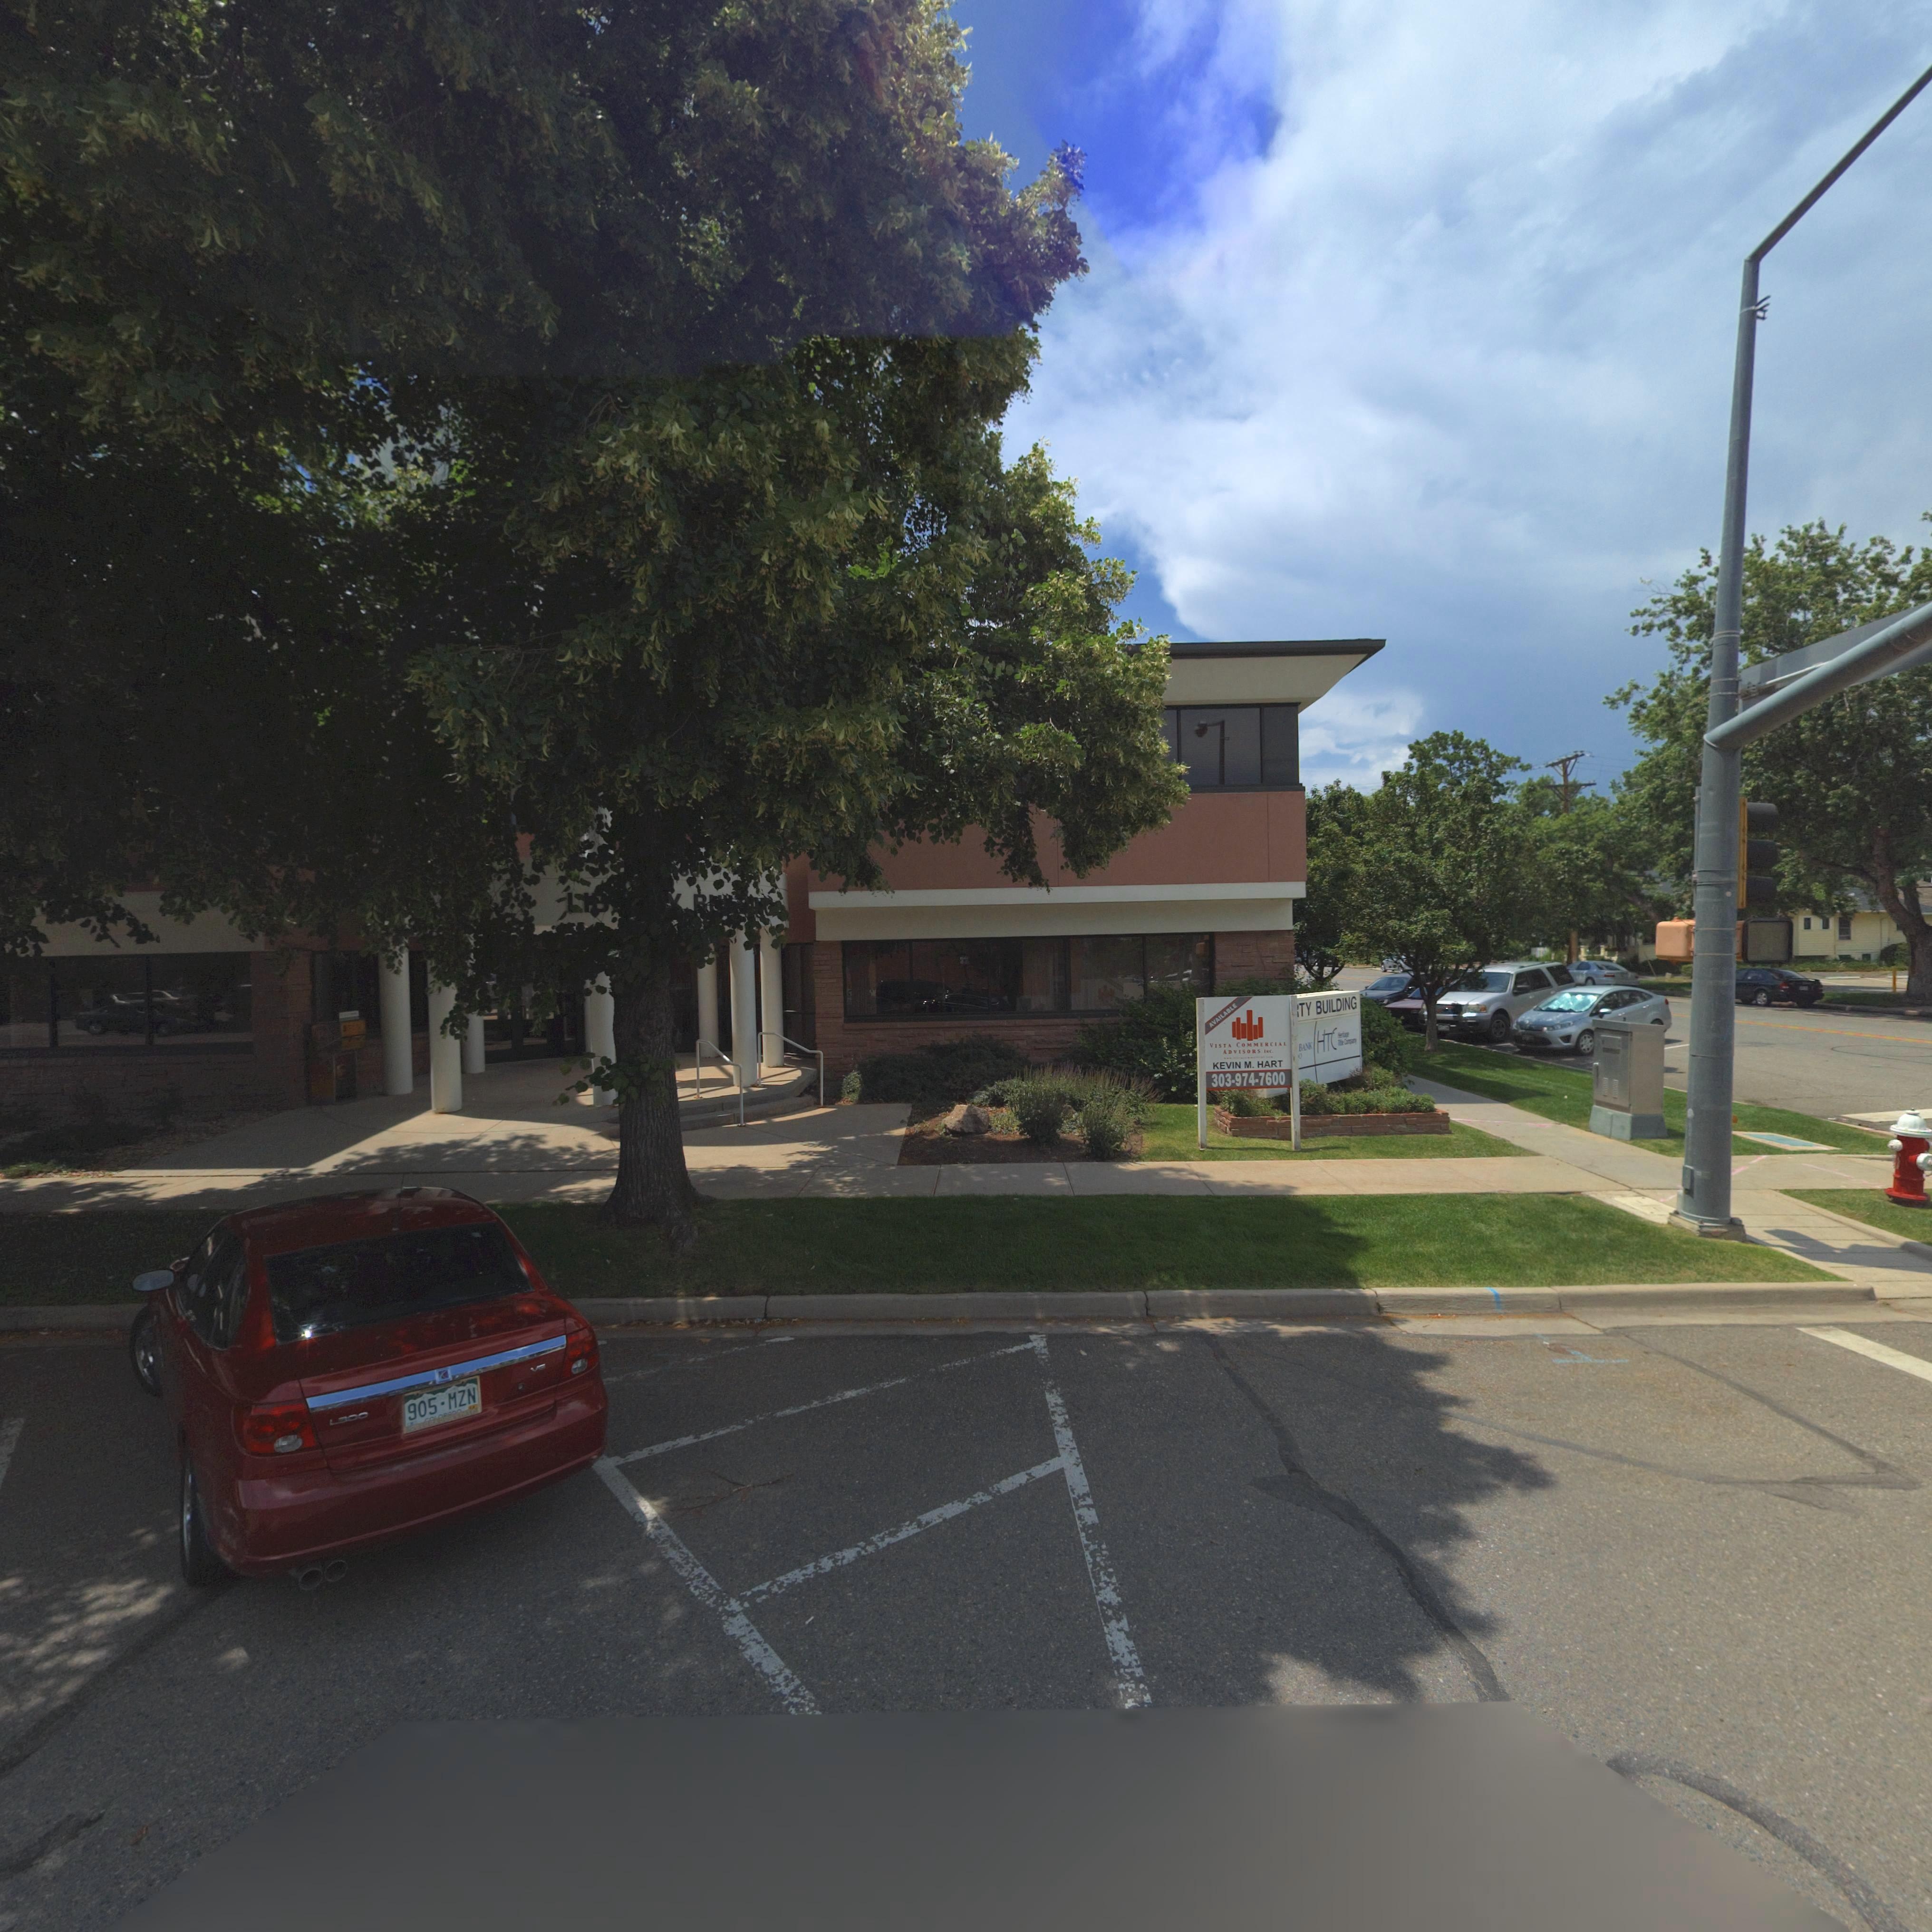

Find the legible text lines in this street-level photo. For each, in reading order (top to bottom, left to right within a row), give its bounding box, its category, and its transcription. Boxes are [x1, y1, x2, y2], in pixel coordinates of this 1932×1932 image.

[1337, 1031, 1350, 1039] BusinessName: Heritage
[1298, 1042, 1313, 1052] StreetNumber: BANK
[1316, 1027, 1338, 1054] BusinessName: HTC
[1336, 1037, 1357, 1047] BusinessName: T***e C***an*
[1298, 1052, 1303, 1059] BusinessName: O